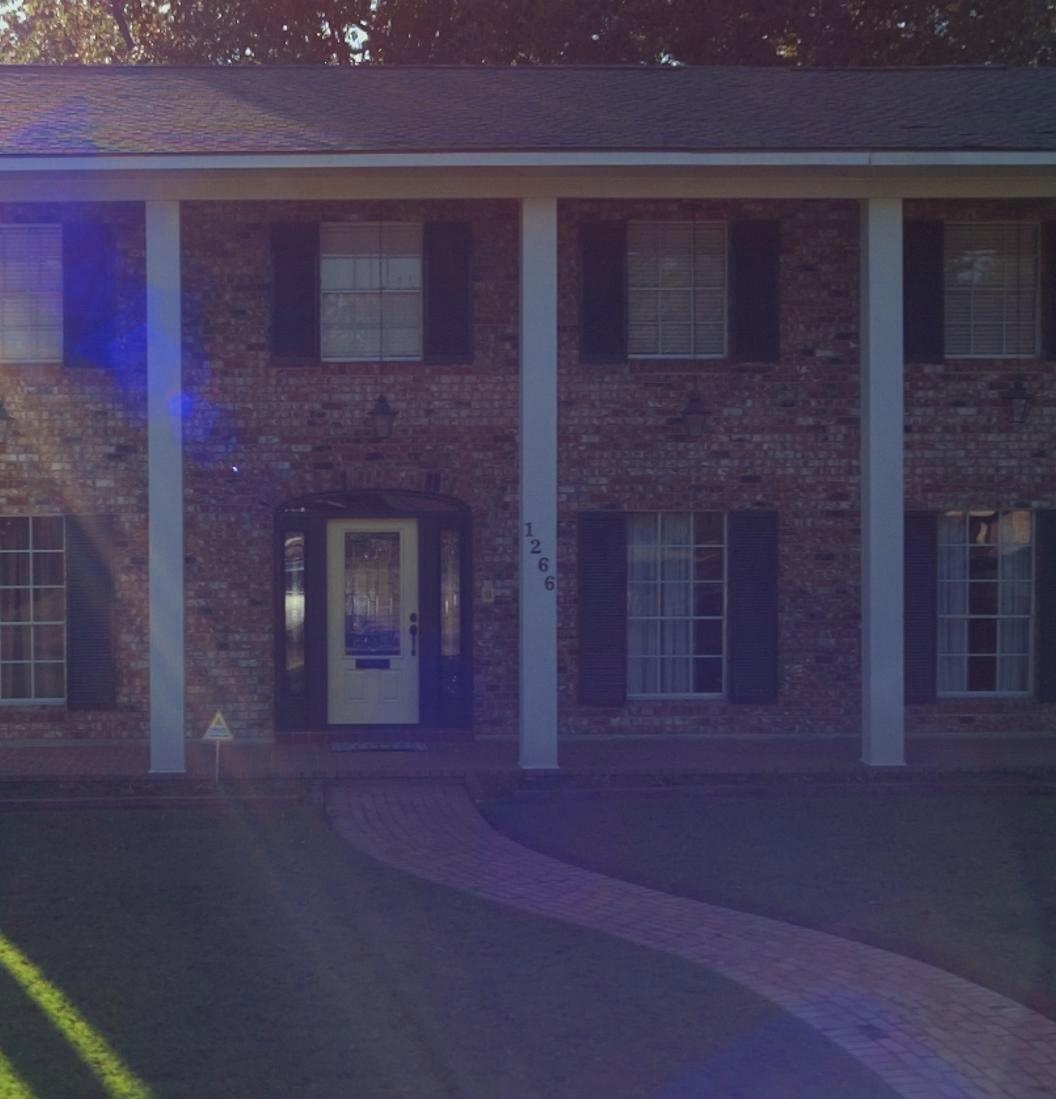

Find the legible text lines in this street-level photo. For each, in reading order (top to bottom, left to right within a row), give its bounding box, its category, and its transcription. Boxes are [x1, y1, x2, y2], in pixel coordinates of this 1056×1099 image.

[523, 521, 556, 592] StreetNumber: 1266